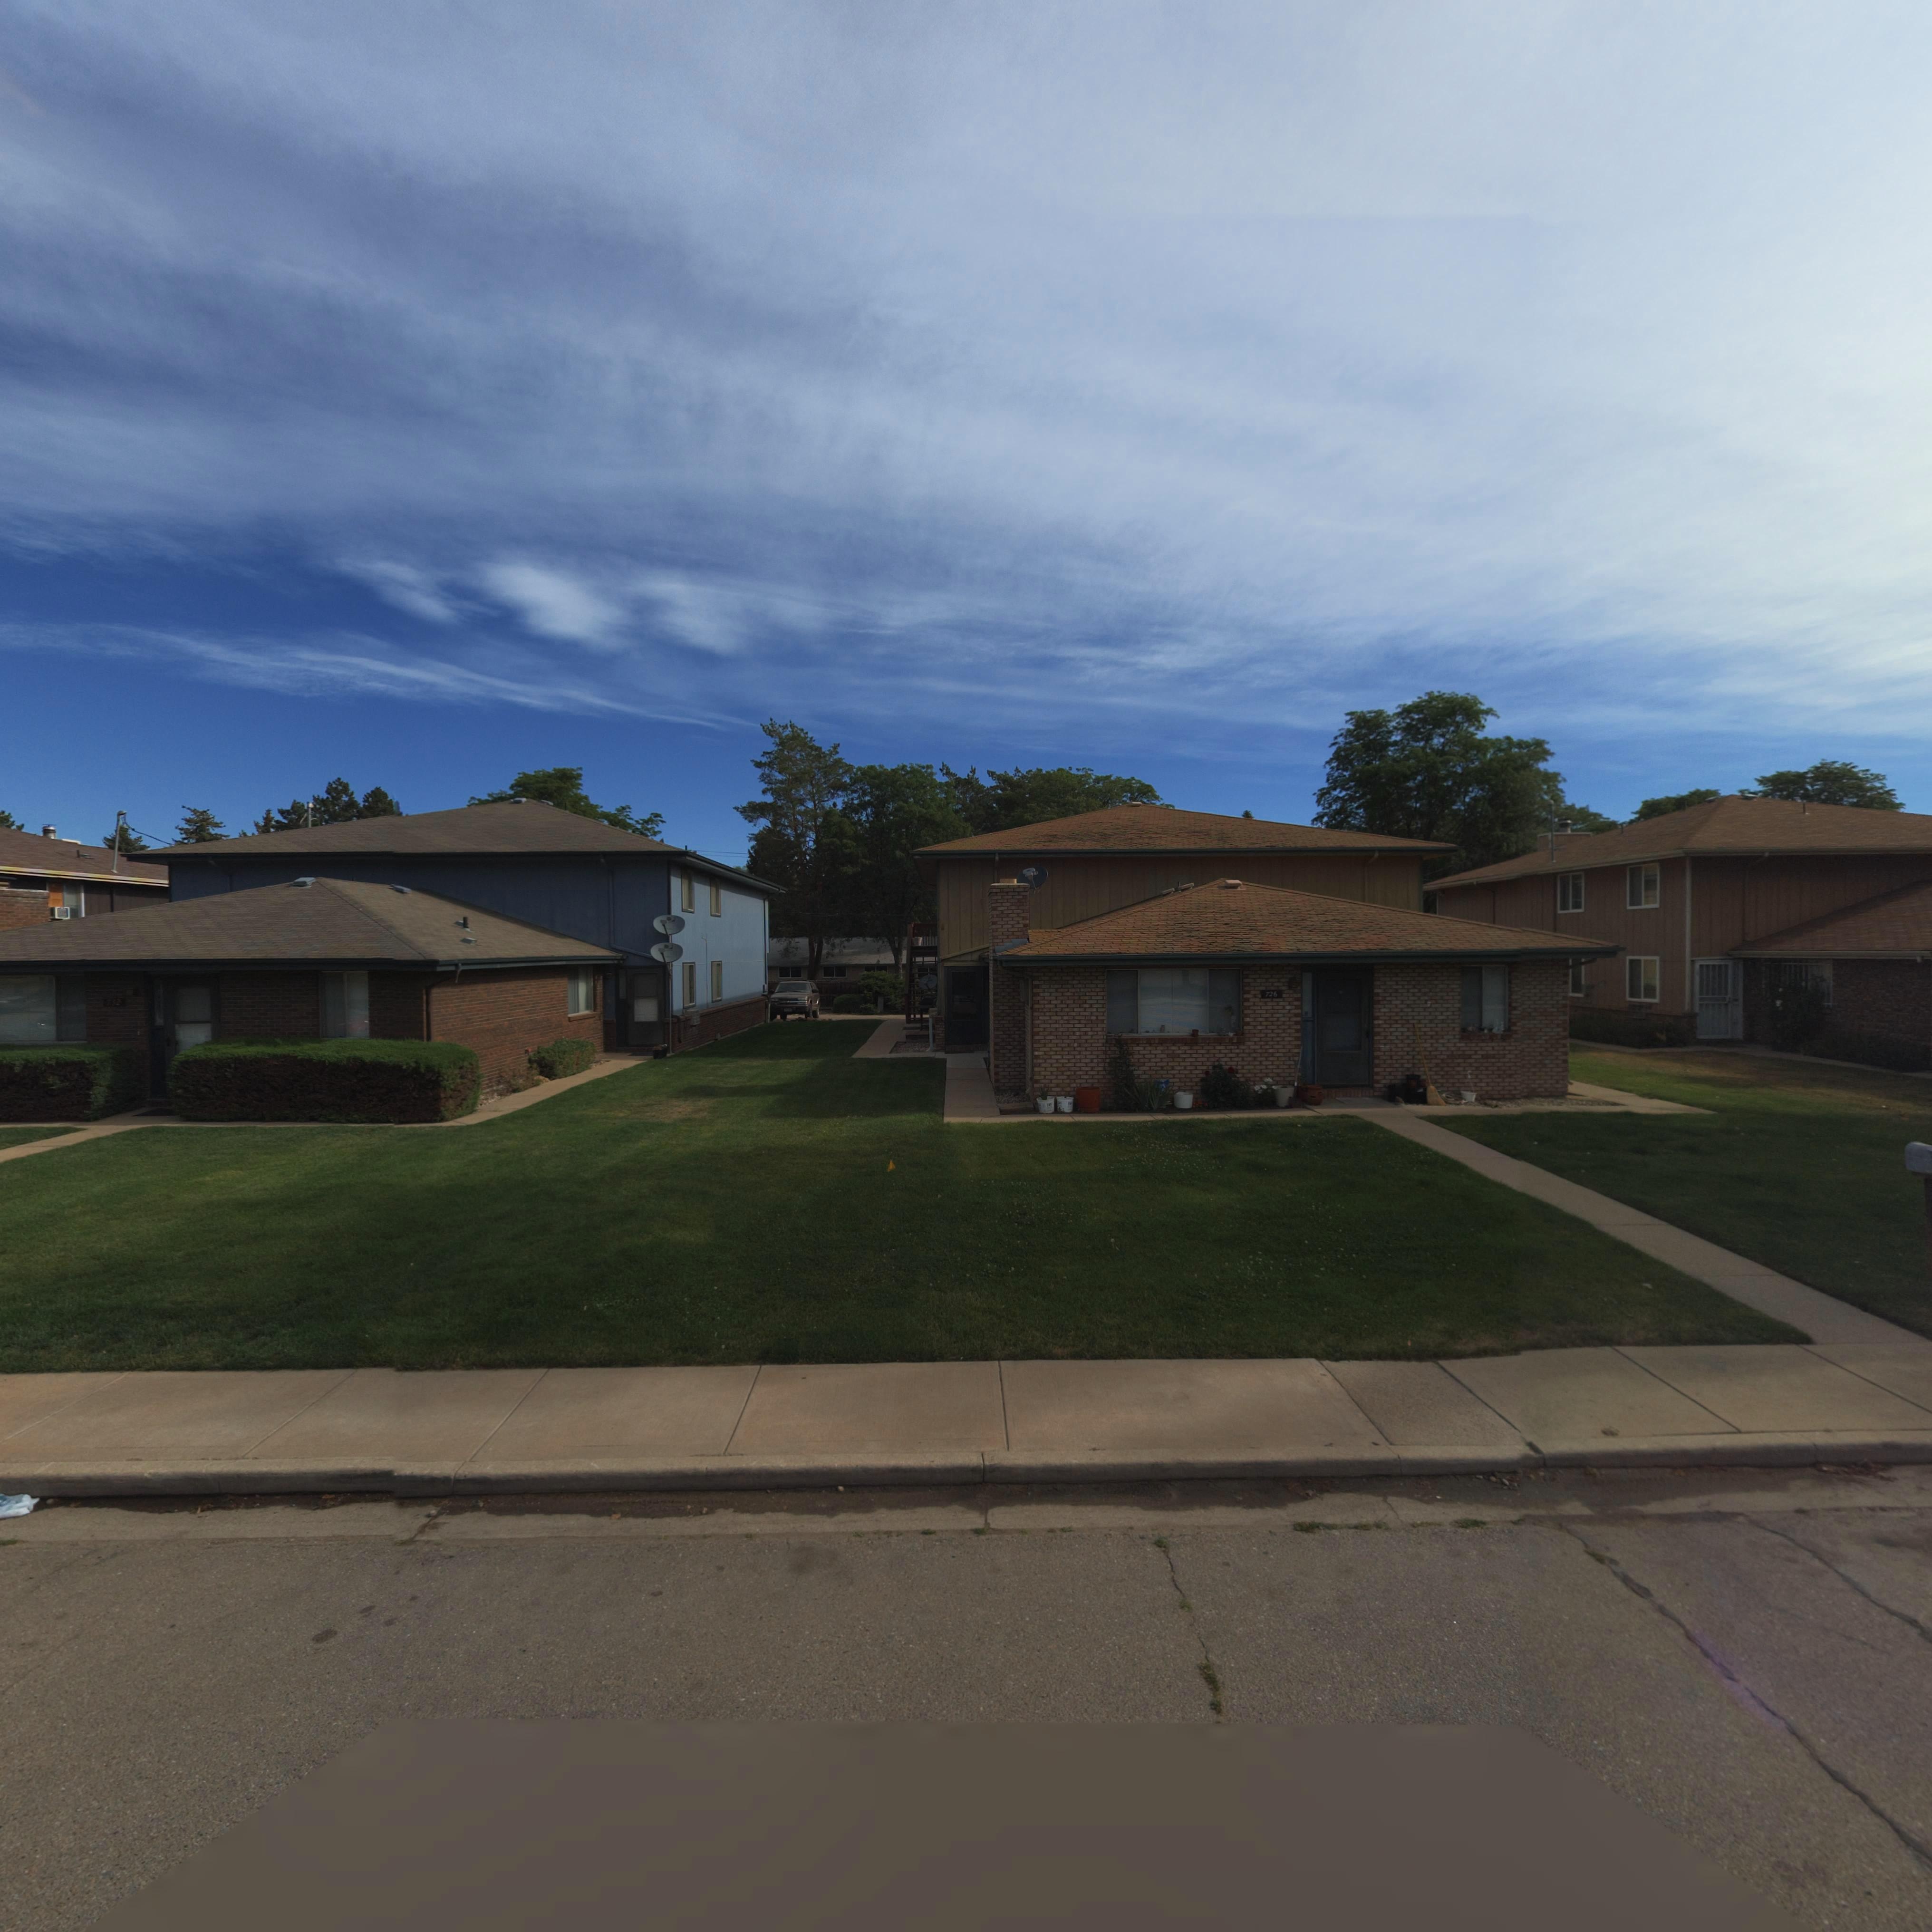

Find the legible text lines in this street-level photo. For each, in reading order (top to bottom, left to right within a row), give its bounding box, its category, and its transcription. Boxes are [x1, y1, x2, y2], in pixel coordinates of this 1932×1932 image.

[1265, 990, 1278, 998] StreetNumber: 726
[106, 995, 122, 1006] StreetNumber: 732